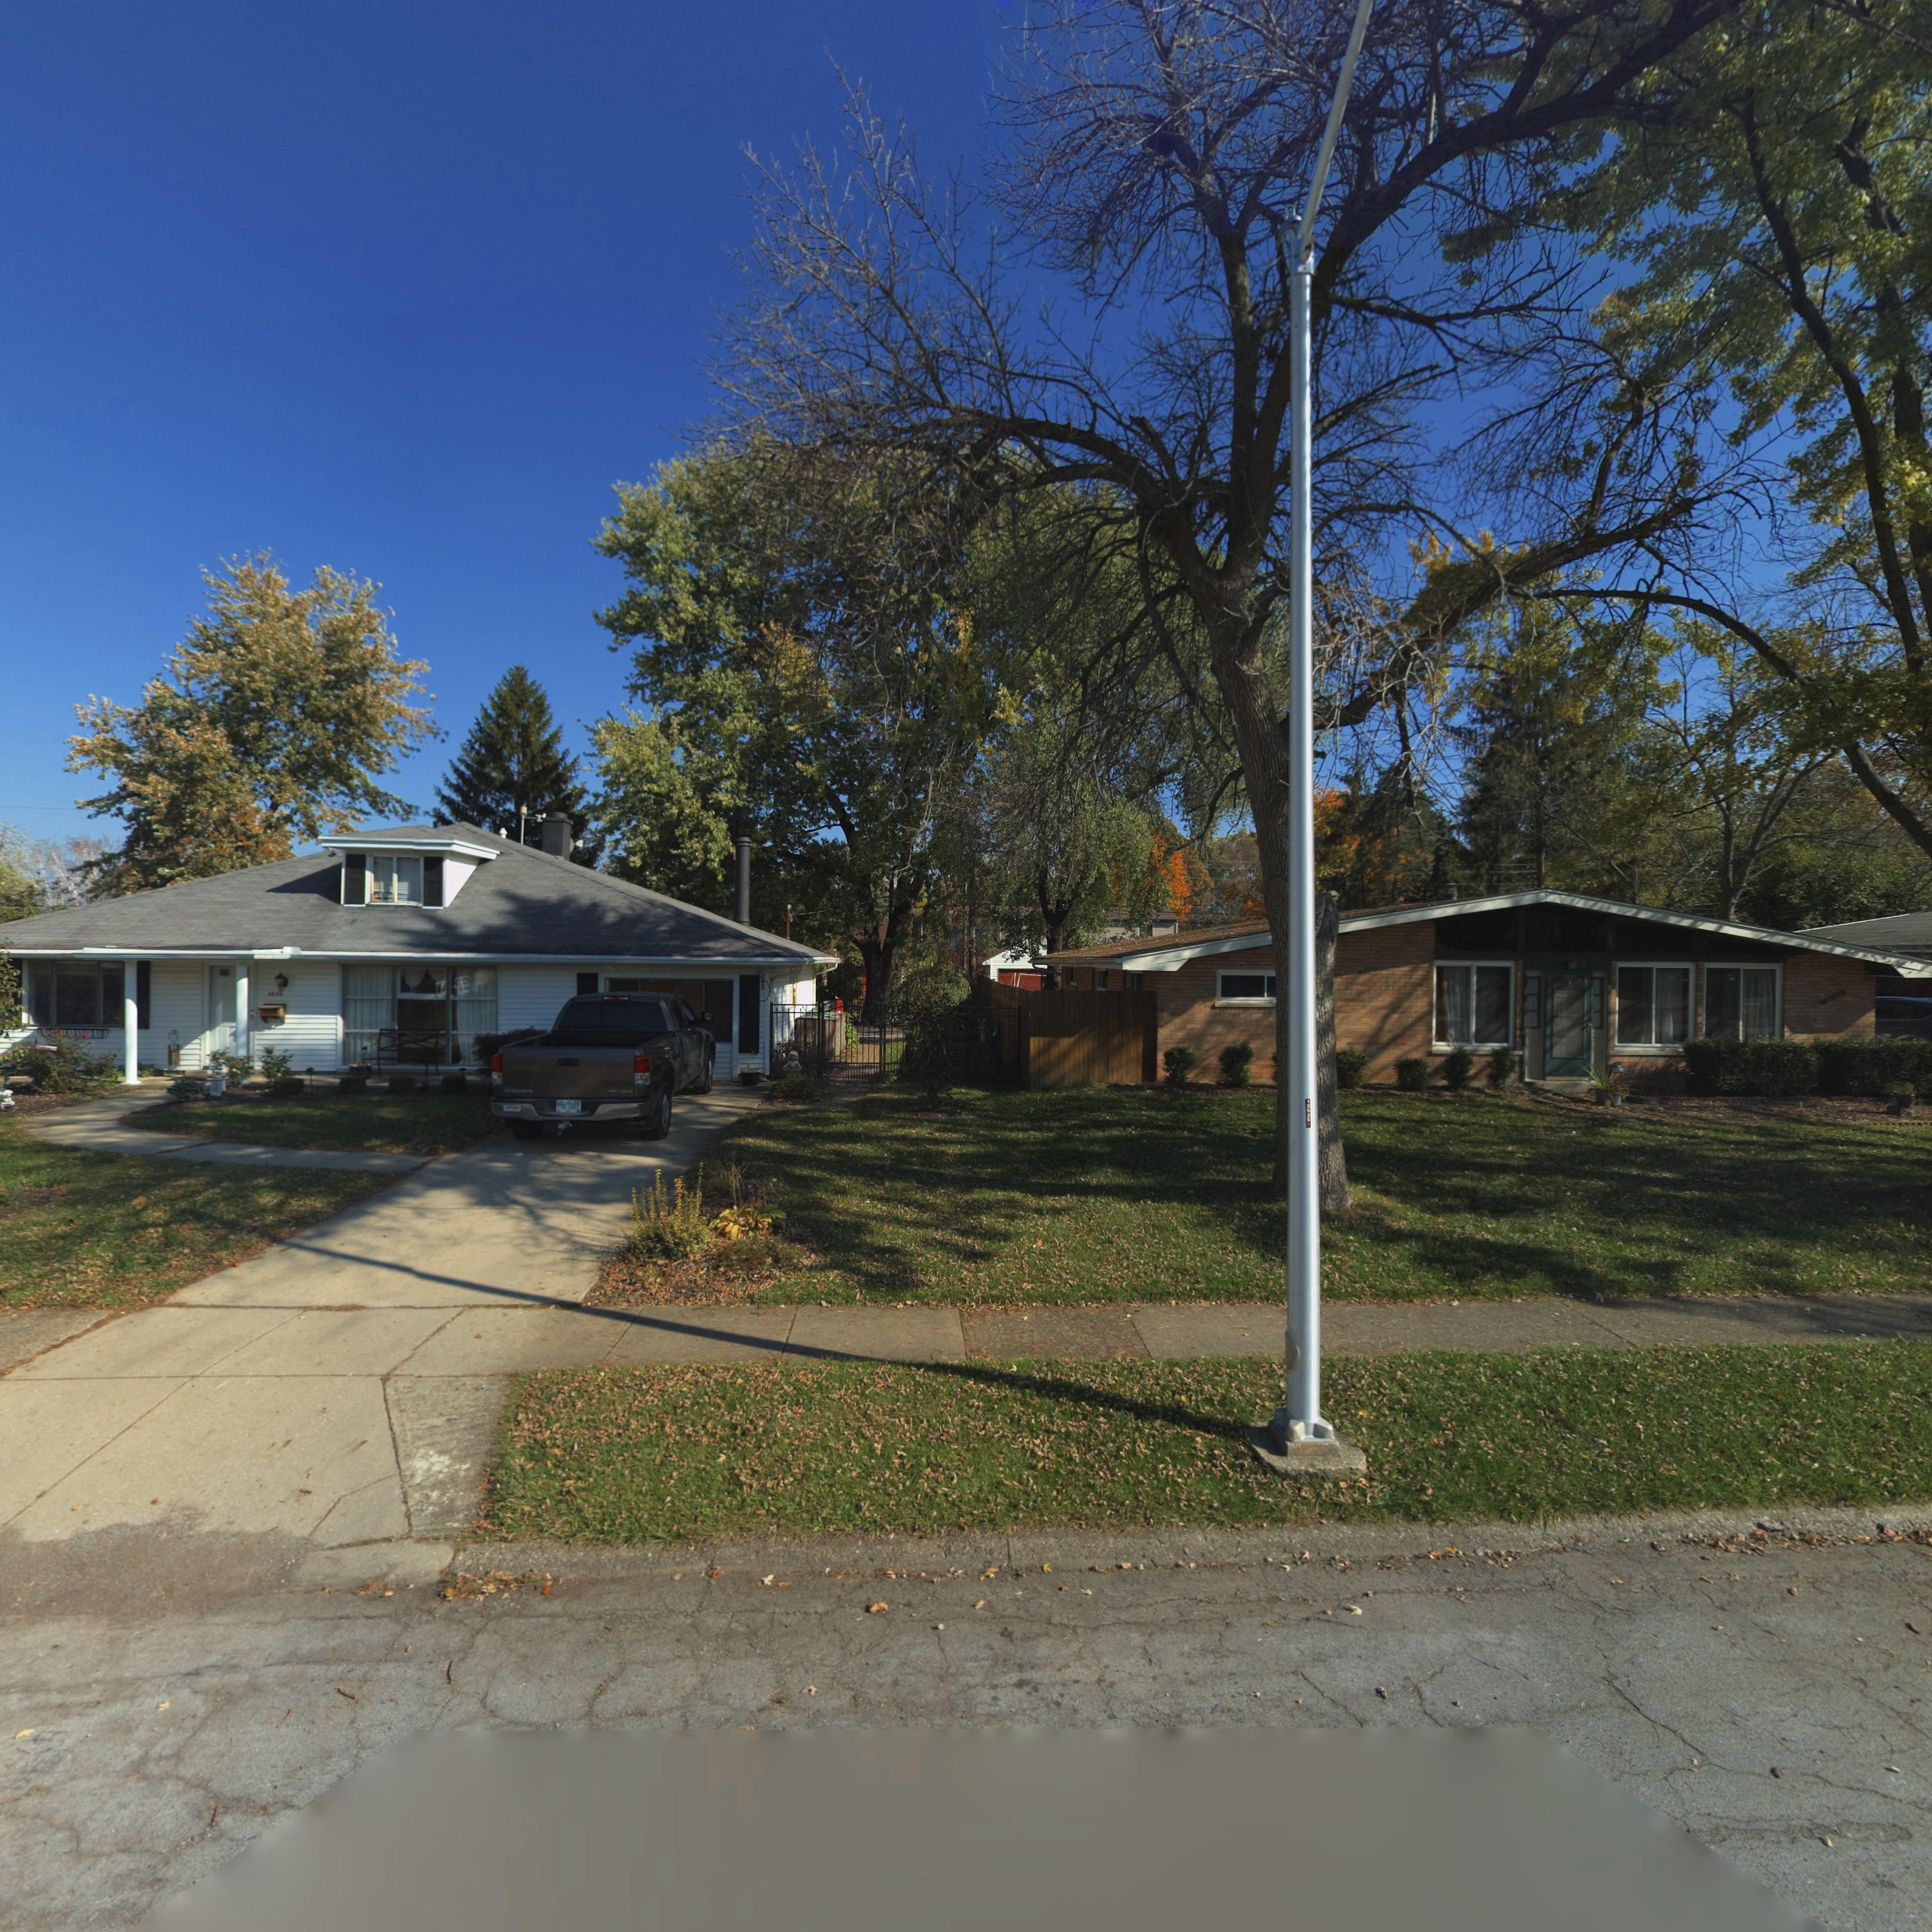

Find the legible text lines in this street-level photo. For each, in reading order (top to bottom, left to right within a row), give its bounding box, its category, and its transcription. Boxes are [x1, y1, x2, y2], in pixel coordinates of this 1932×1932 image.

[268, 991, 283, 996] StreetNumber: *826
[503, 1090, 533, 1093] None: TU***A
[619, 1089, 633, 1093] None: 4*4
[558, 1103, 579, 1110] None: P*U*1651